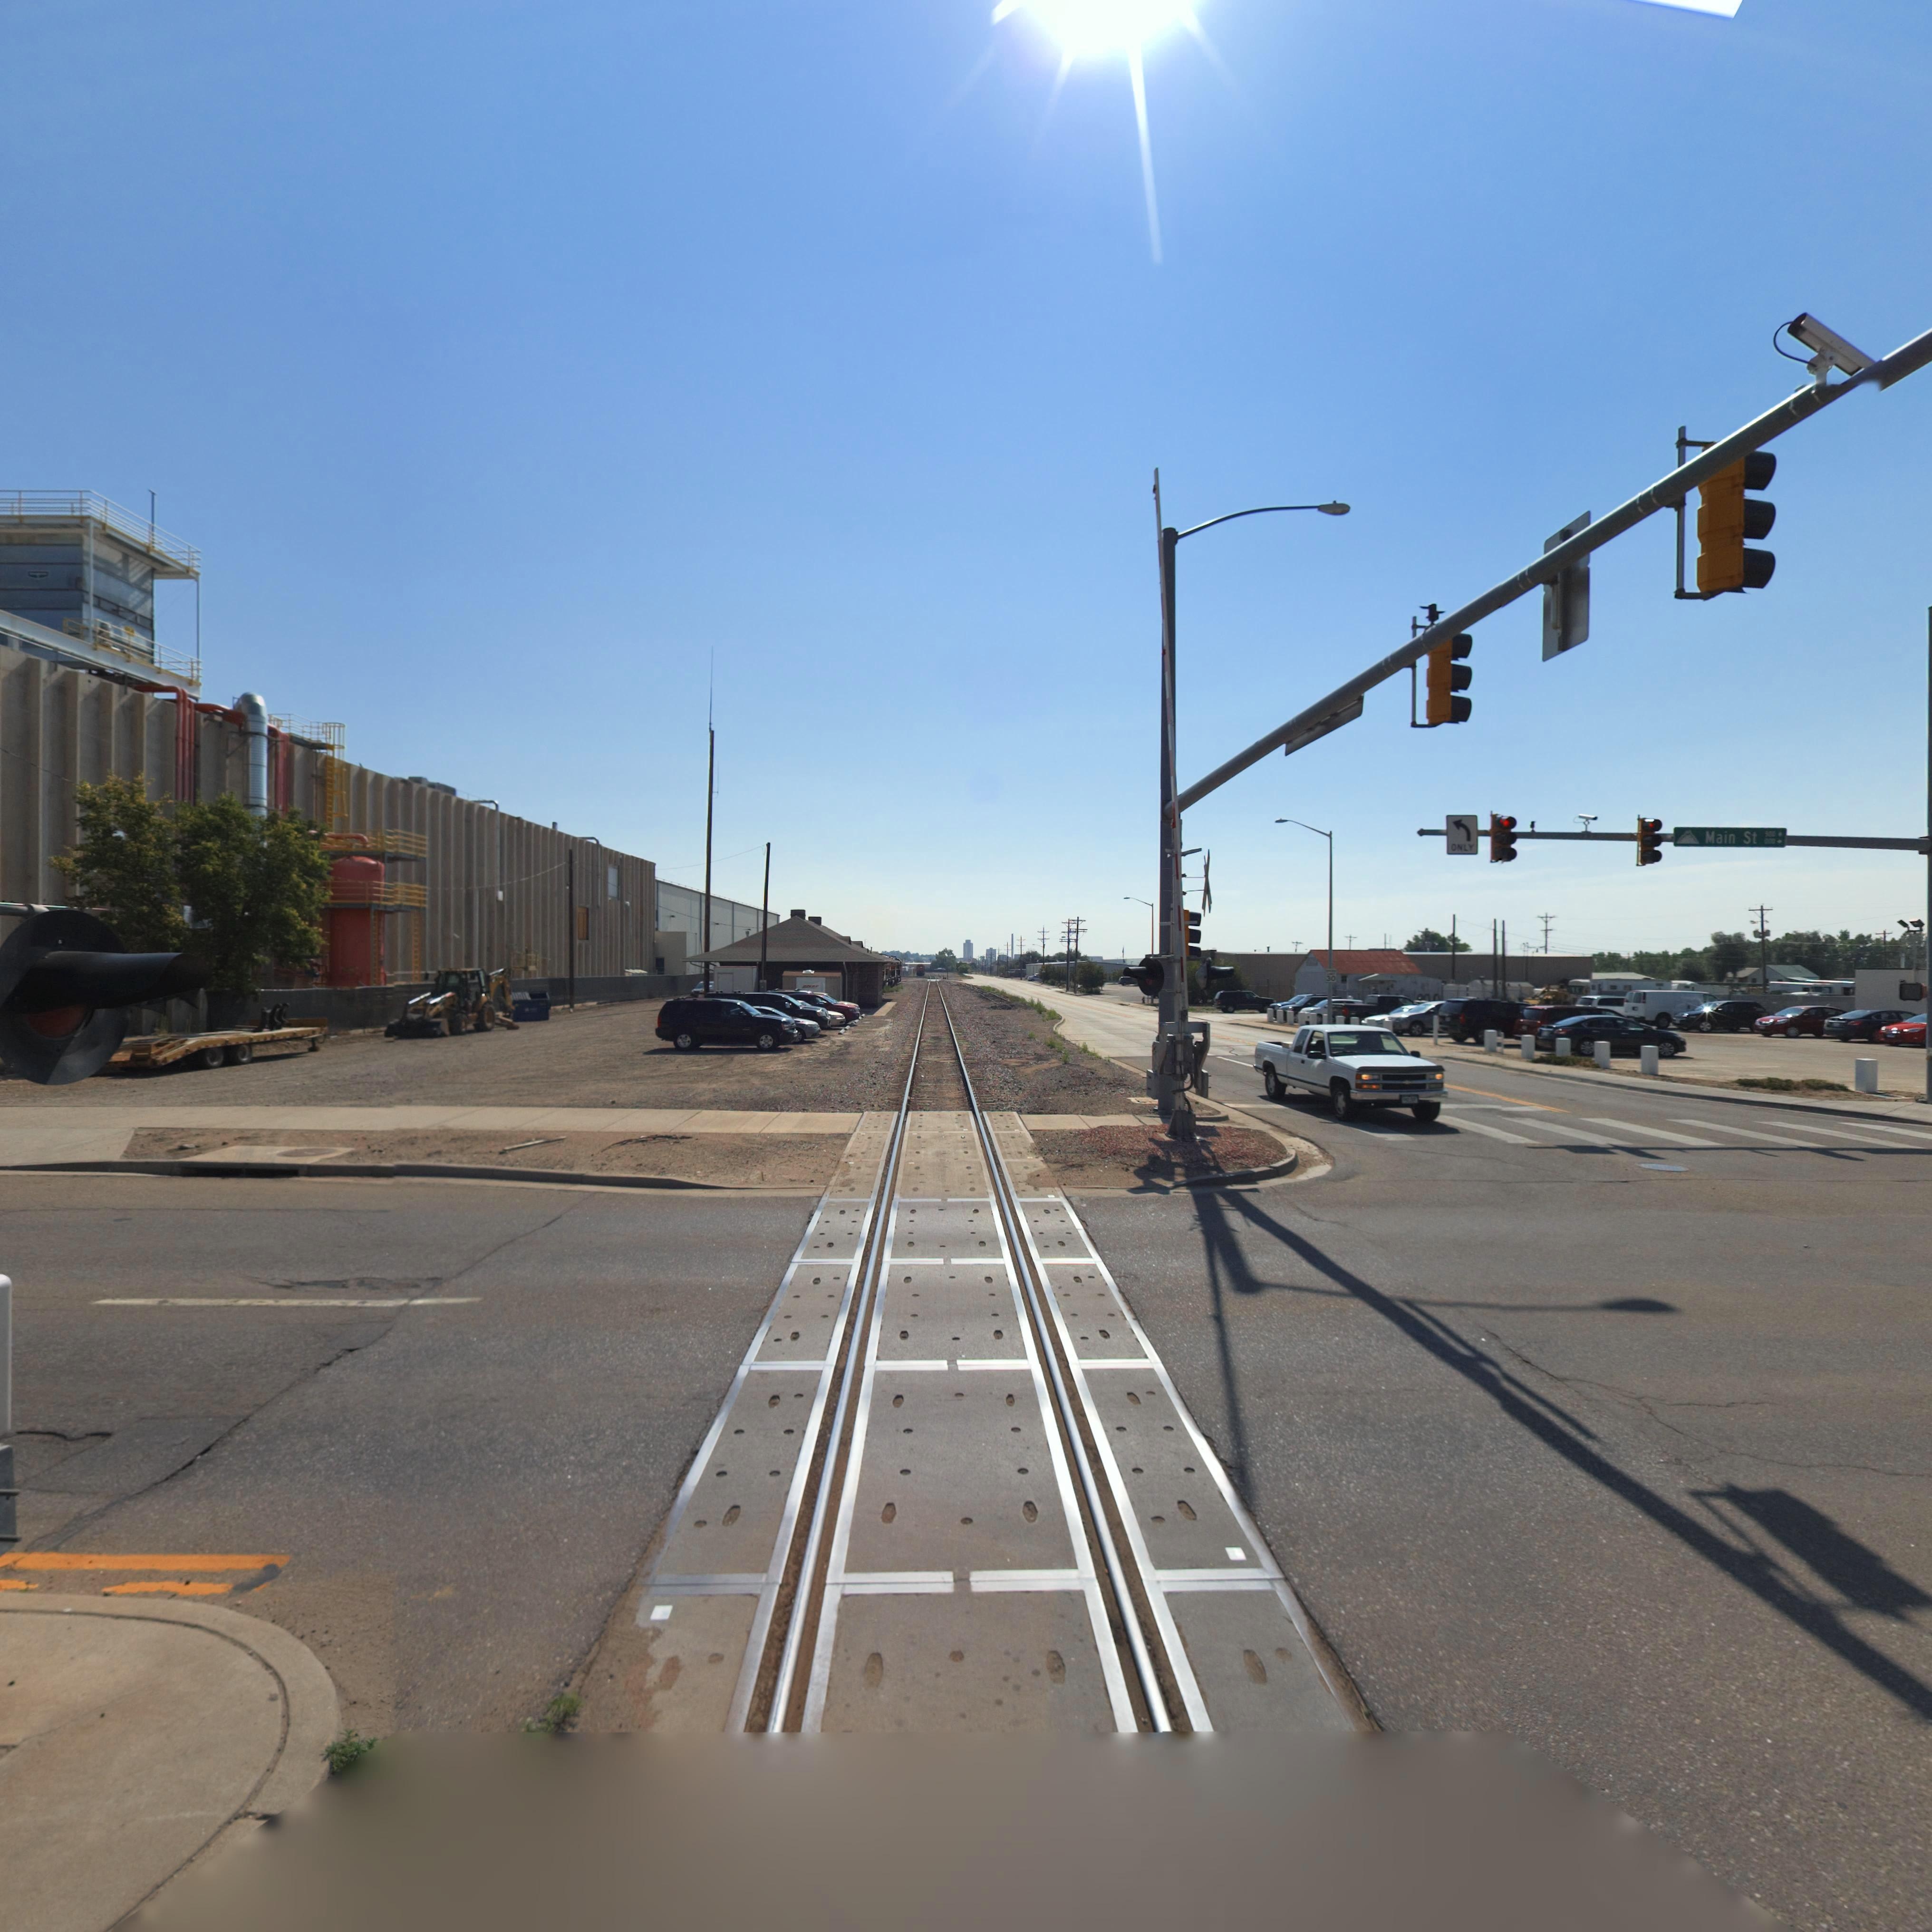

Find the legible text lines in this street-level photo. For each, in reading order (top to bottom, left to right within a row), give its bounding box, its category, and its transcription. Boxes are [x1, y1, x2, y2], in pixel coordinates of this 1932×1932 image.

[1705, 830, 1758, 844] StreetName: Main St